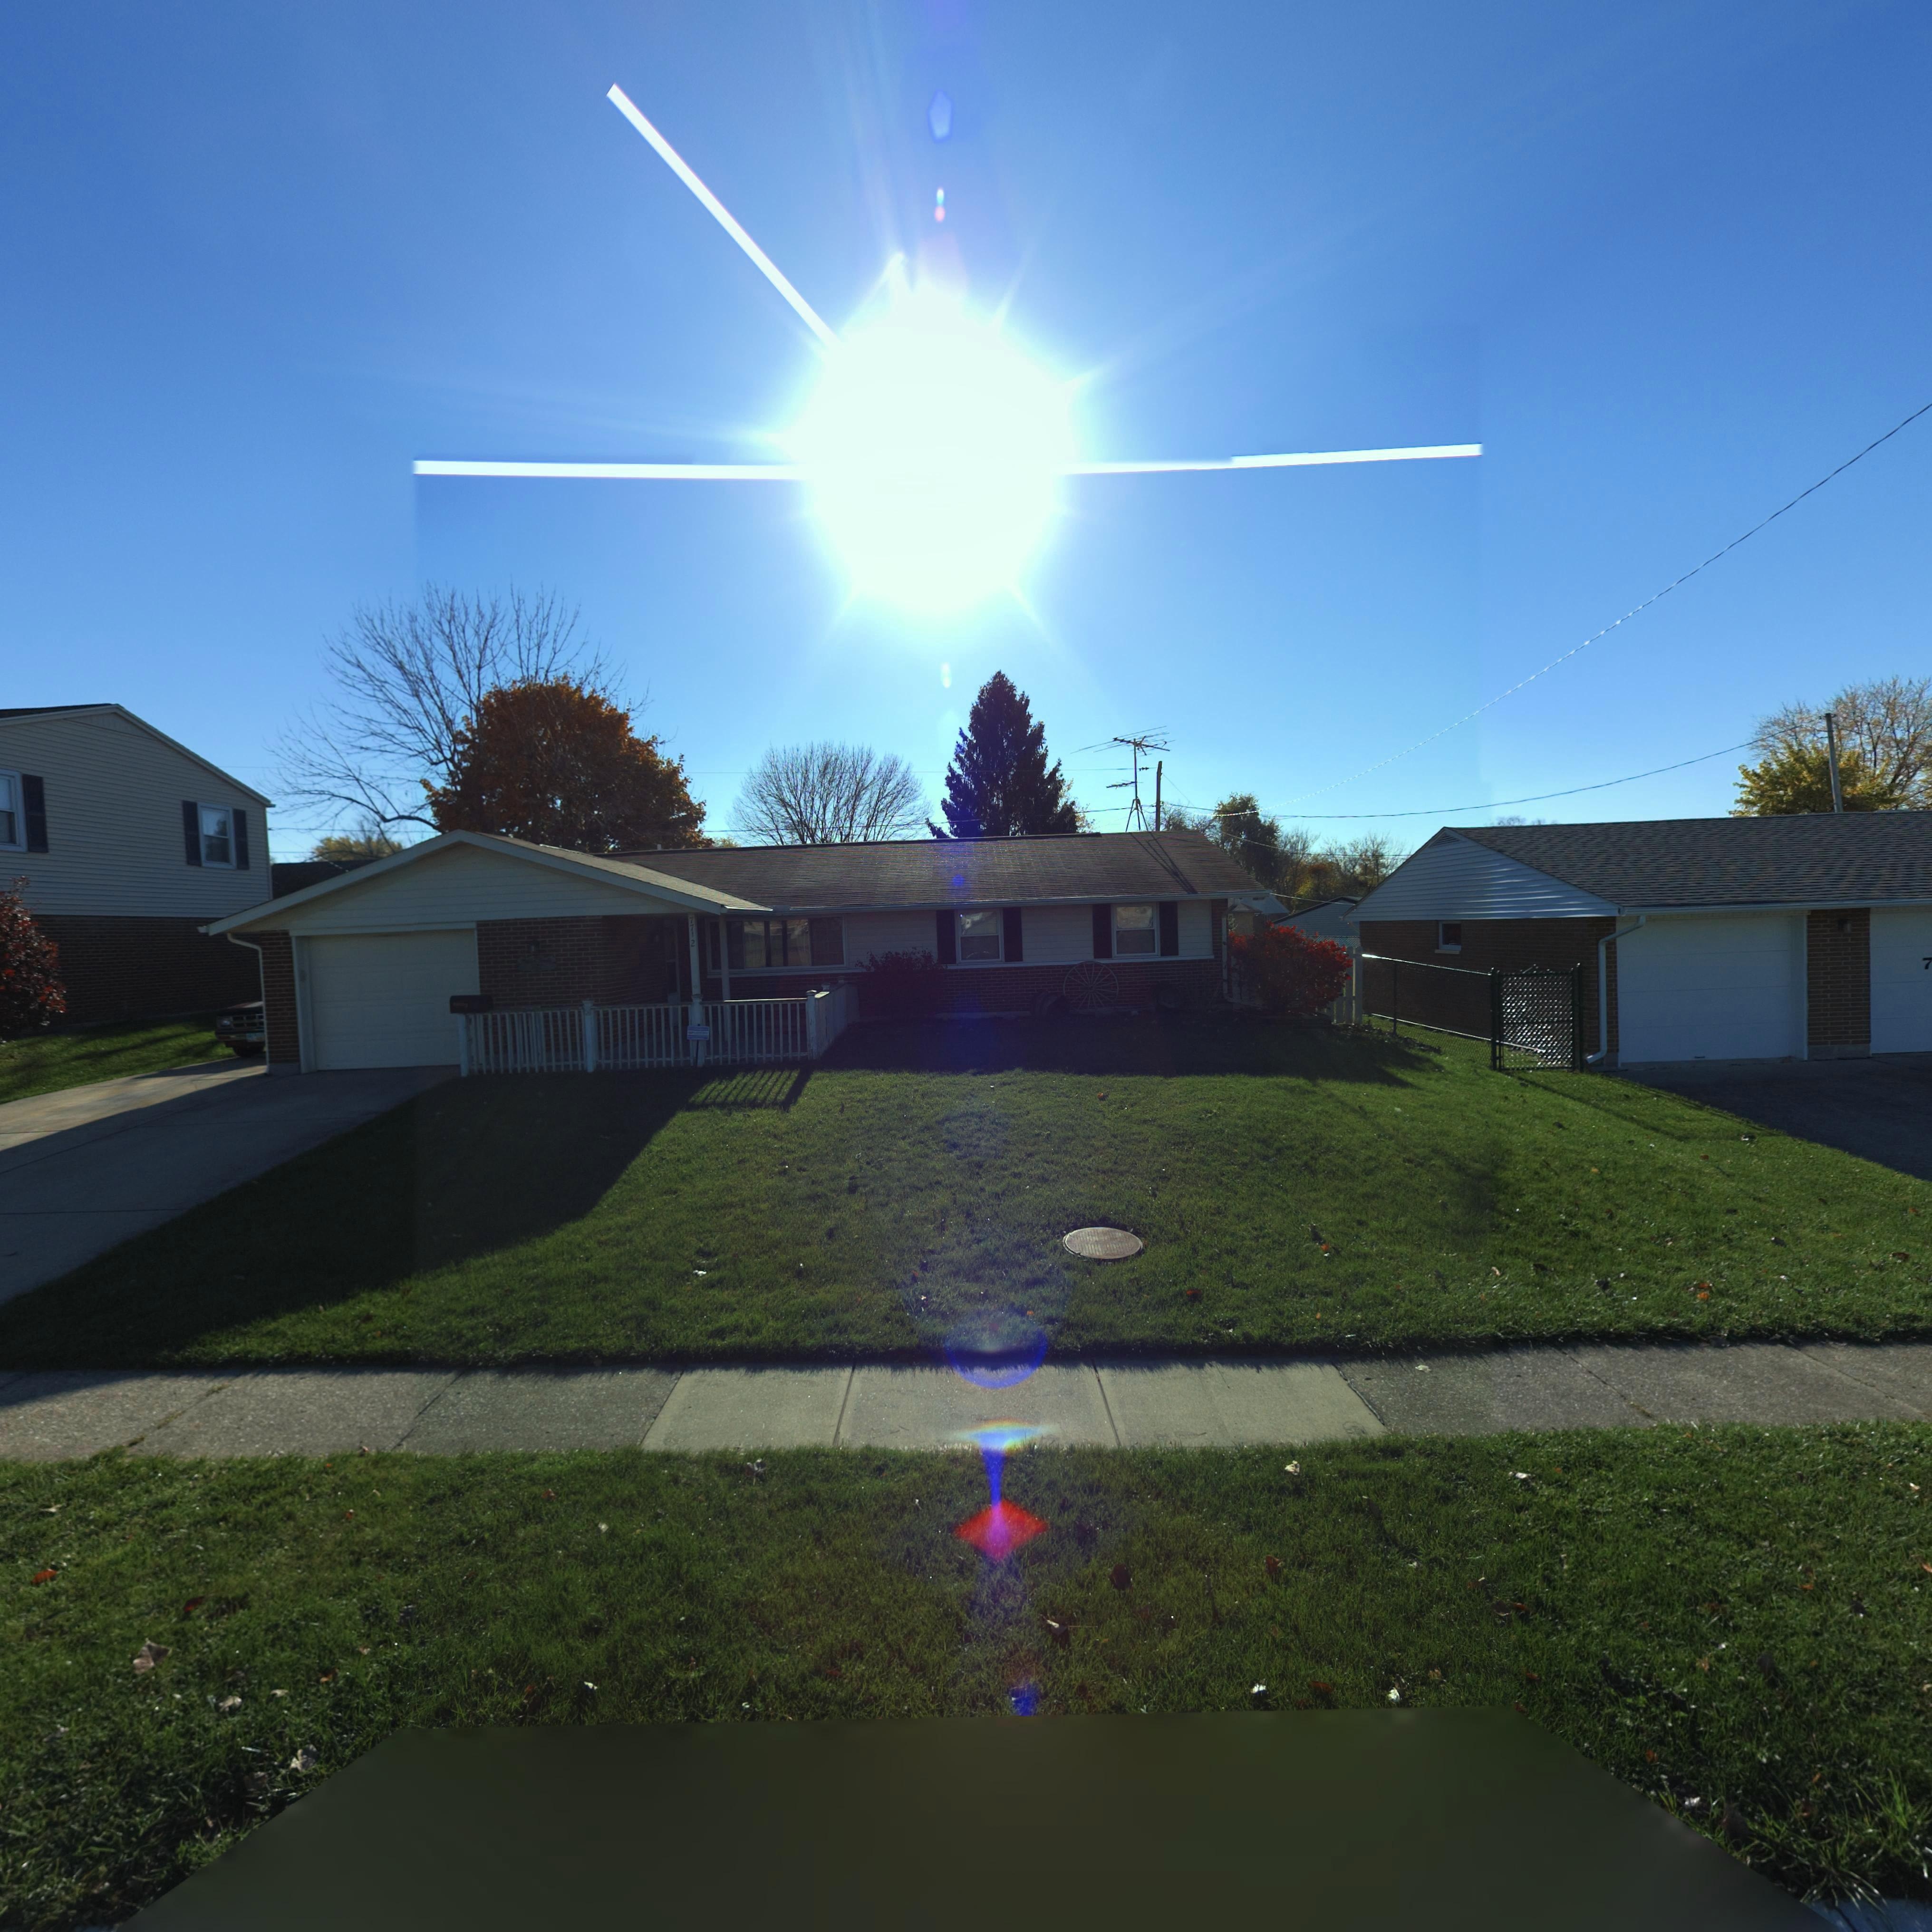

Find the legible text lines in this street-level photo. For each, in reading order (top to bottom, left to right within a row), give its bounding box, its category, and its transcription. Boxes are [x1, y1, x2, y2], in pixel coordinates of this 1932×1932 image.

[688, 915, 696, 949] StreetNumber: 7712